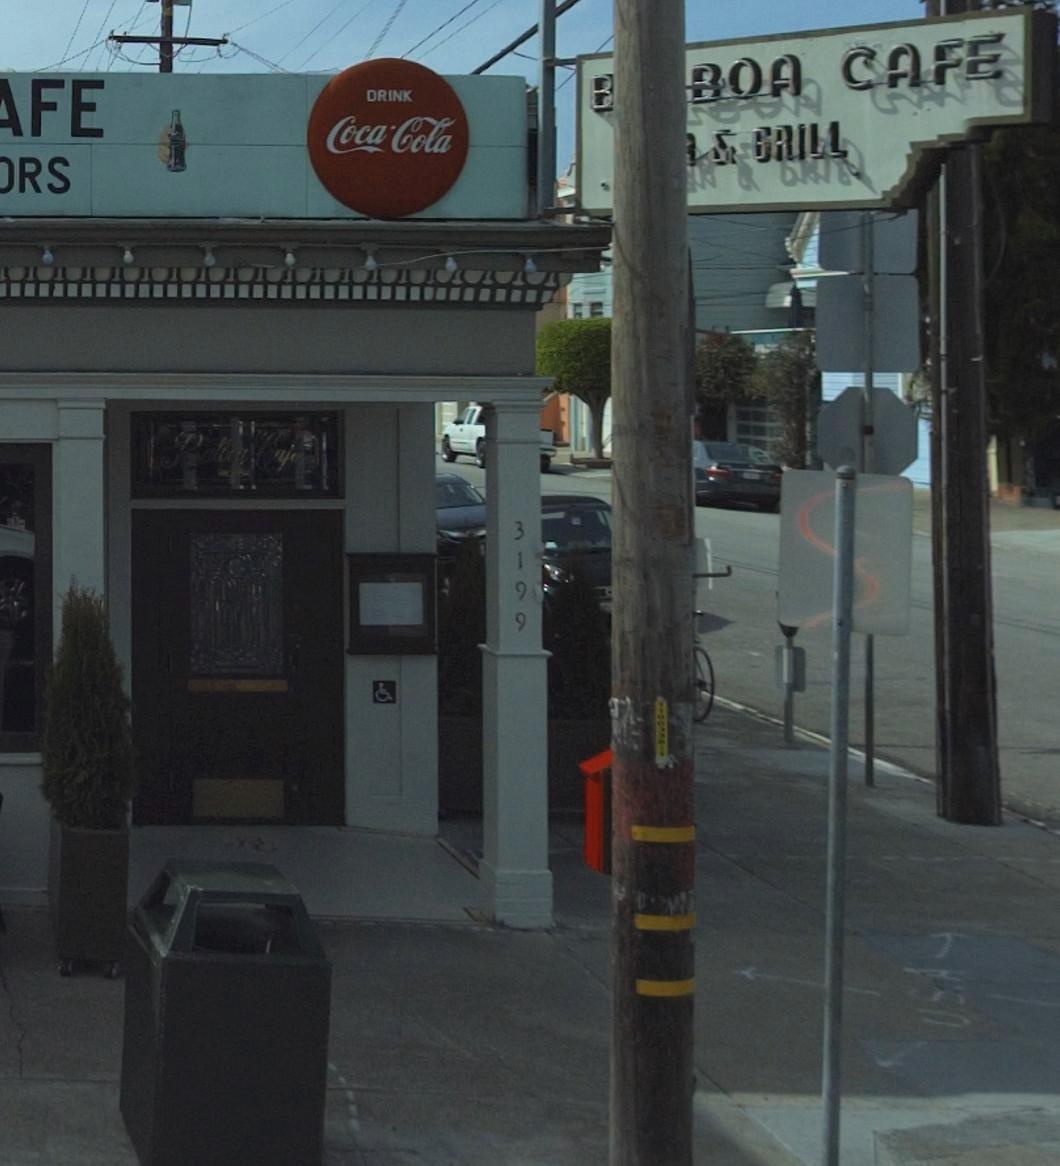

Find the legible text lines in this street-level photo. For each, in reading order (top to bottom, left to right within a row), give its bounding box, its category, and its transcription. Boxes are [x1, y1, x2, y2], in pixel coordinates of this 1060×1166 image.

[689, 30, 1002, 106] BusinessName: BOA CAFE
[28, 76, 106, 140] BusinessName: FE
[365, 87, 416, 104] None: DRINK
[587, 73, 616, 111] BusinessName: B
[324, 112, 459, 157] None: Coca-Cola
[749, 117, 850, 163] None: GRILL
[16, 153, 74, 196] None: RS
[511, 519, 529, 634] StreetNumber: 3199
[655, 700, 668, 759] None: 1*00*****